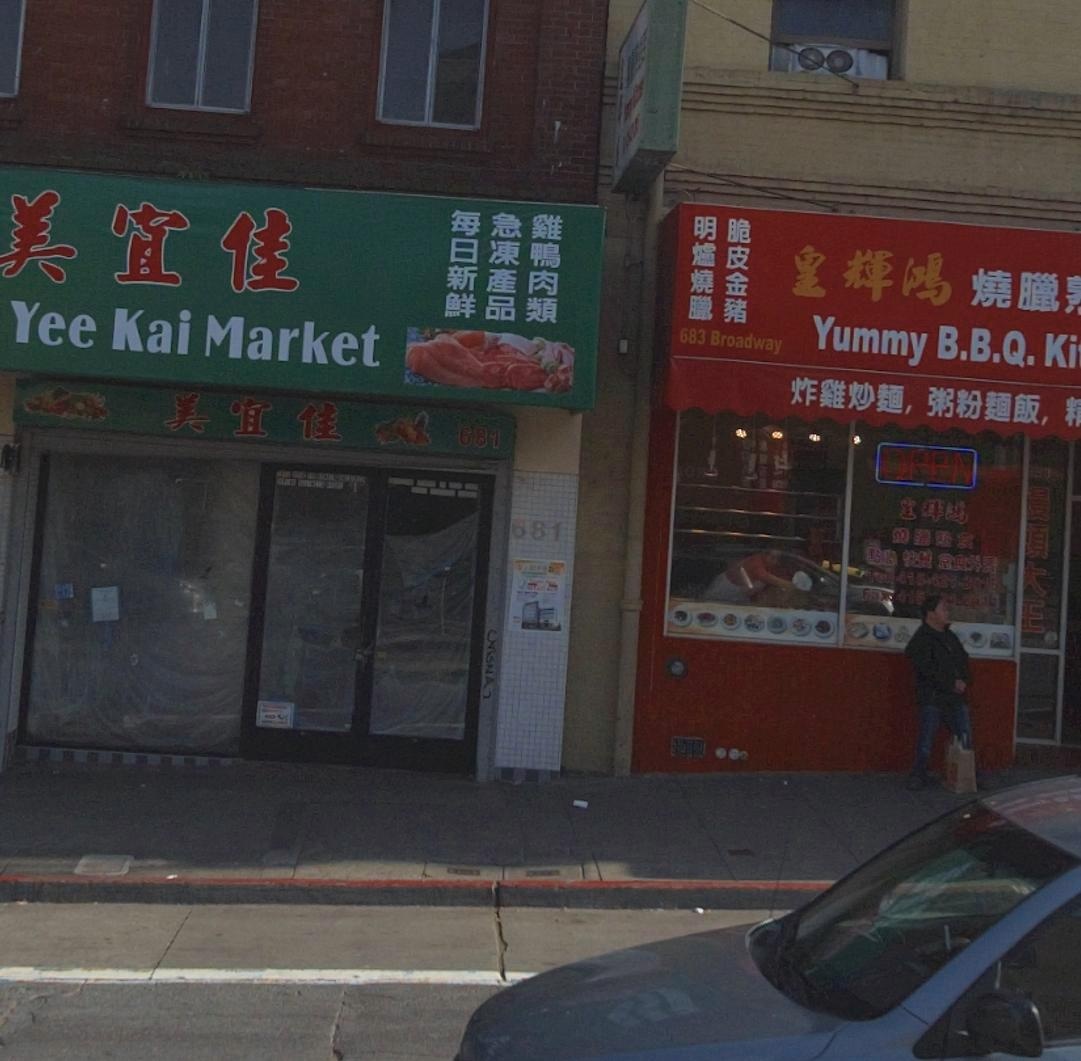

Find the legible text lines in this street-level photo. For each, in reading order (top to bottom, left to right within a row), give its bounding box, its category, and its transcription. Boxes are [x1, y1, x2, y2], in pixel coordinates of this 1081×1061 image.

[9, 298, 381, 370] BusinessName: Yee Kai Market
[678, 326, 707, 346] StreetNumber: 683
[709, 328, 783, 356] StreetName: Broadway
[811, 313, 1078, 369] BusinessName: Yummy B.B.Q. Ki
[458, 424, 502, 451] StreetNumber: 681
[879, 444, 977, 487] None: OPEN
[509, 517, 563, 544] StreetNumber: 681
[895, 569, 927, 588] None: 415
[859, 587, 927, 607] None: FAX:415